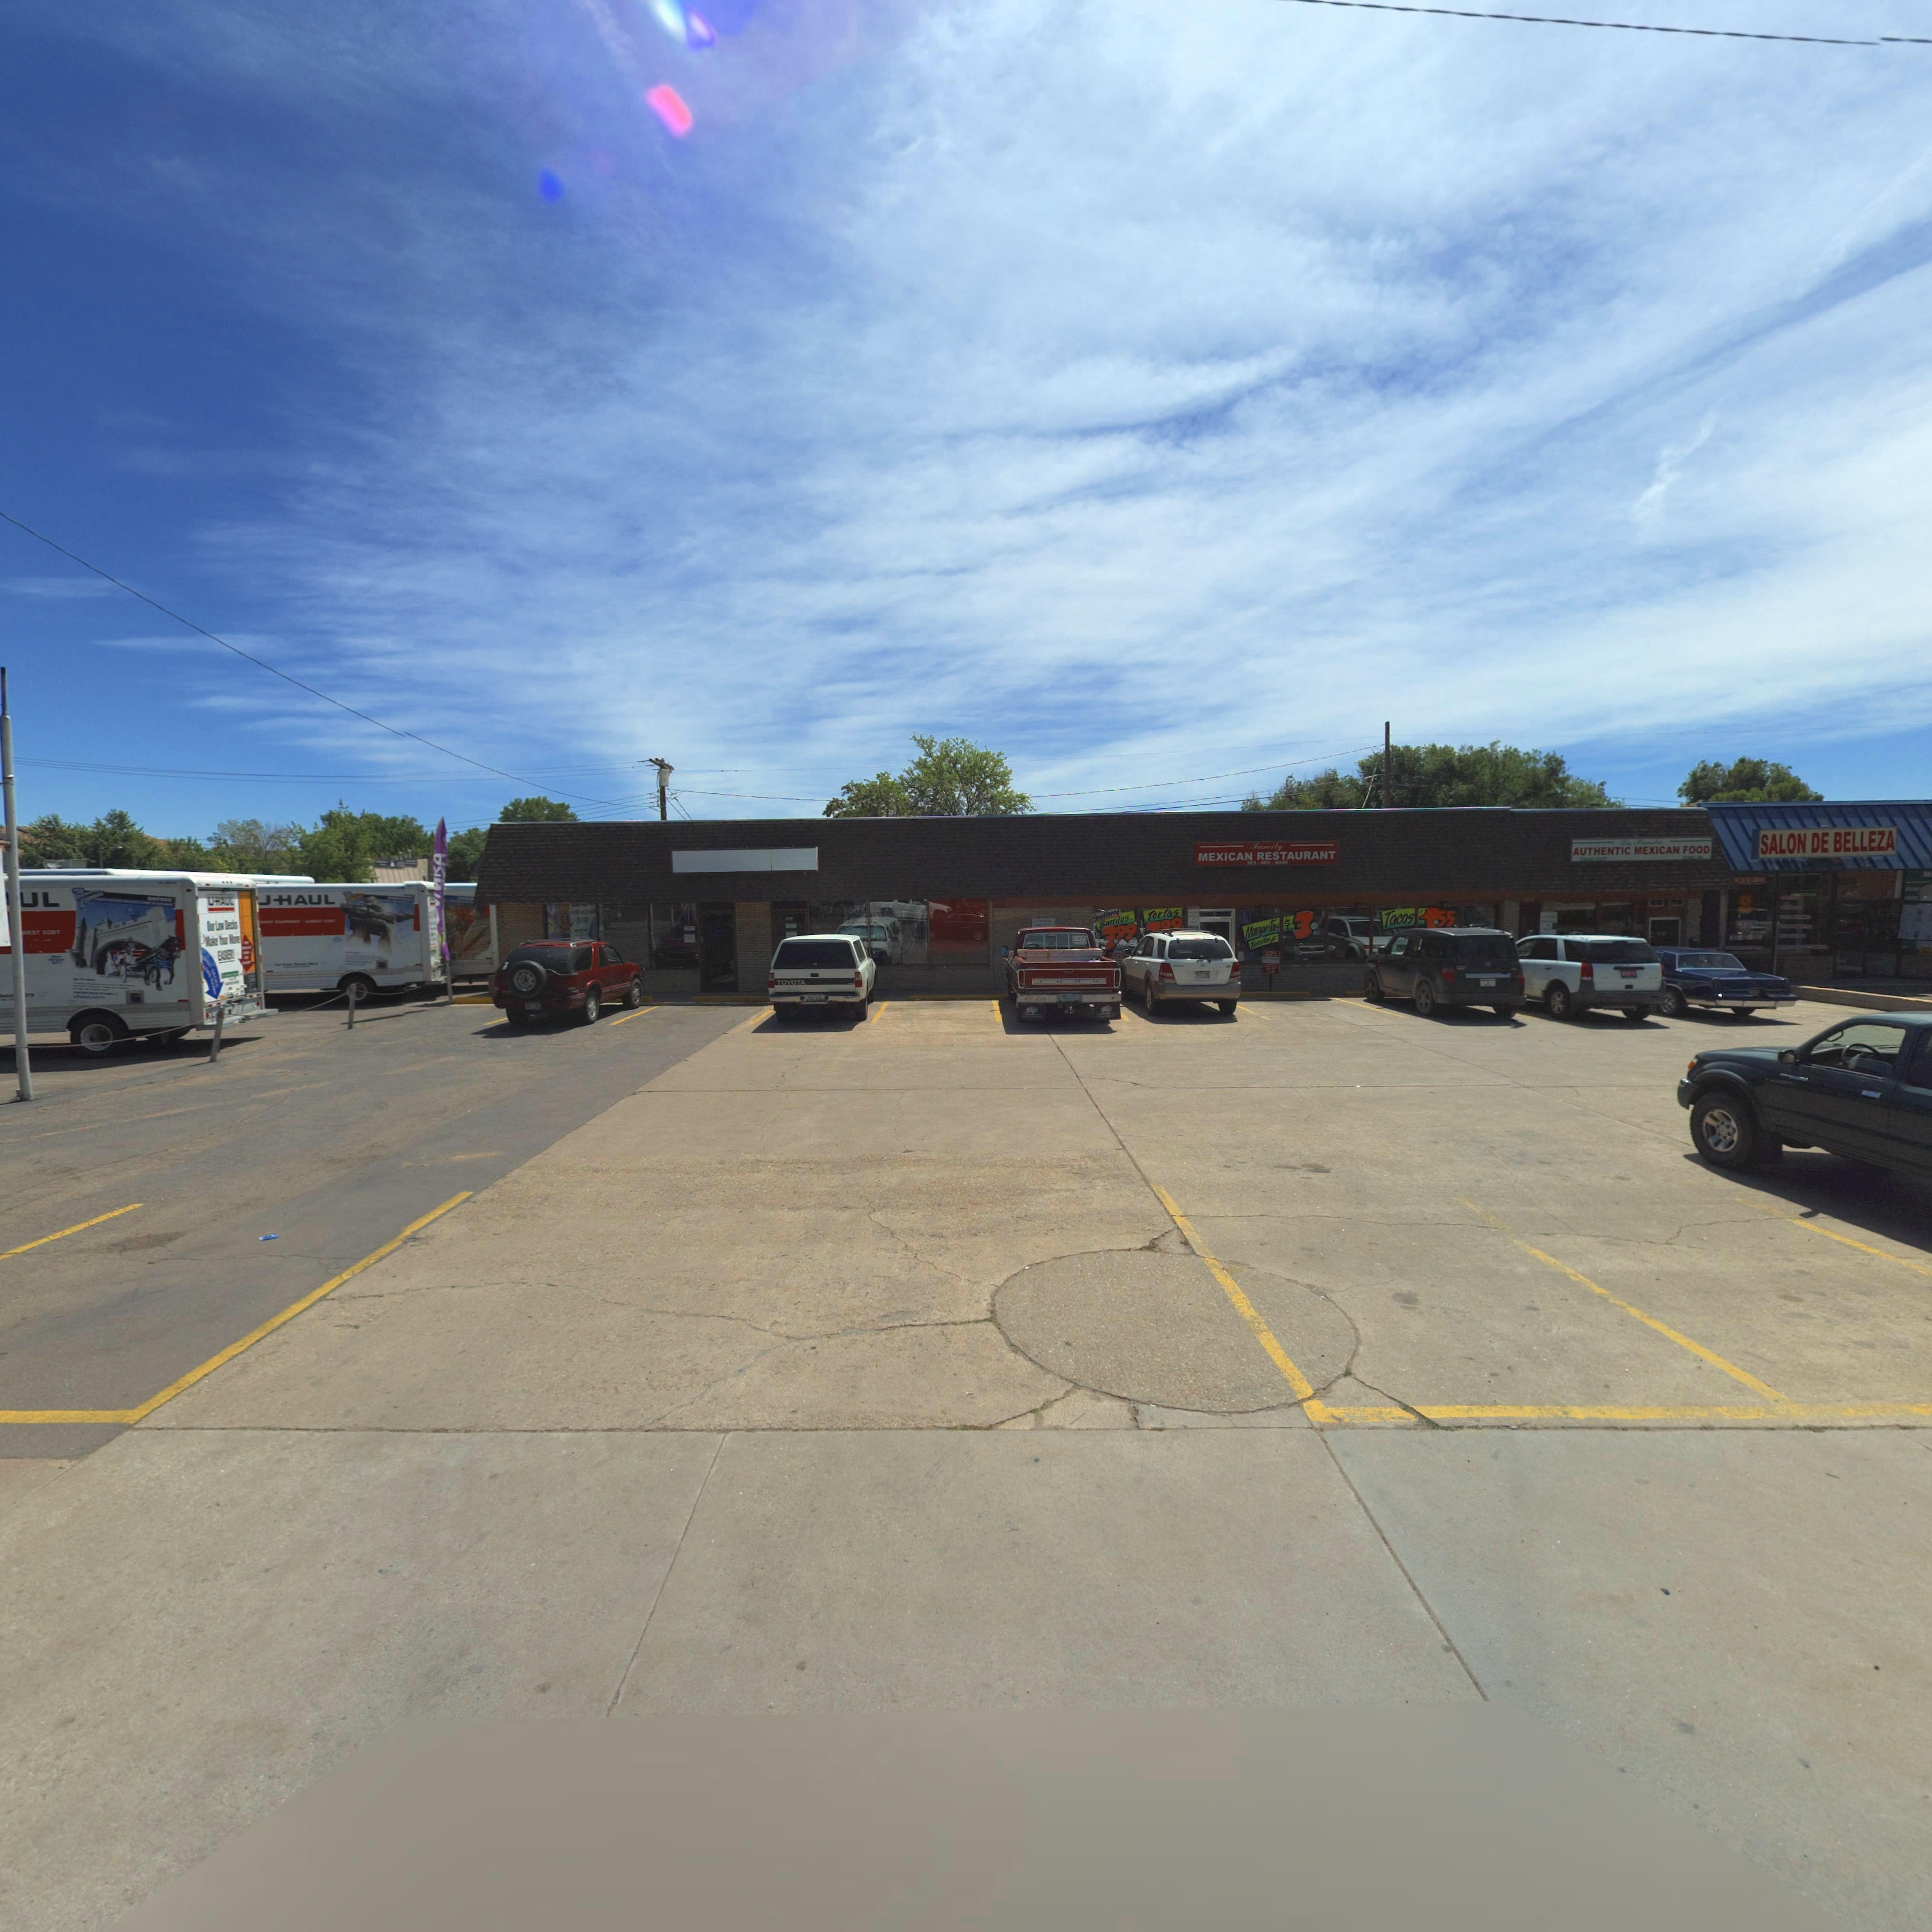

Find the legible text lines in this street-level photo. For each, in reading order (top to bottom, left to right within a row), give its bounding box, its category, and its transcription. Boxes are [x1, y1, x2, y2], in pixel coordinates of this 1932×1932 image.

[1249, 842, 1283, 851] BusinessName: Family
[1572, 844, 1710, 856] BusinessName: AUTHENTIC MEXICAN FOOD
[1619, 838, 1663, 845] BusinessName: *a ****a
[1759, 829, 1895, 855] BusinessName: SALON DE BELLEZA
[1198, 850, 1336, 861] BusinessName: MEXICAN RESTAURANT